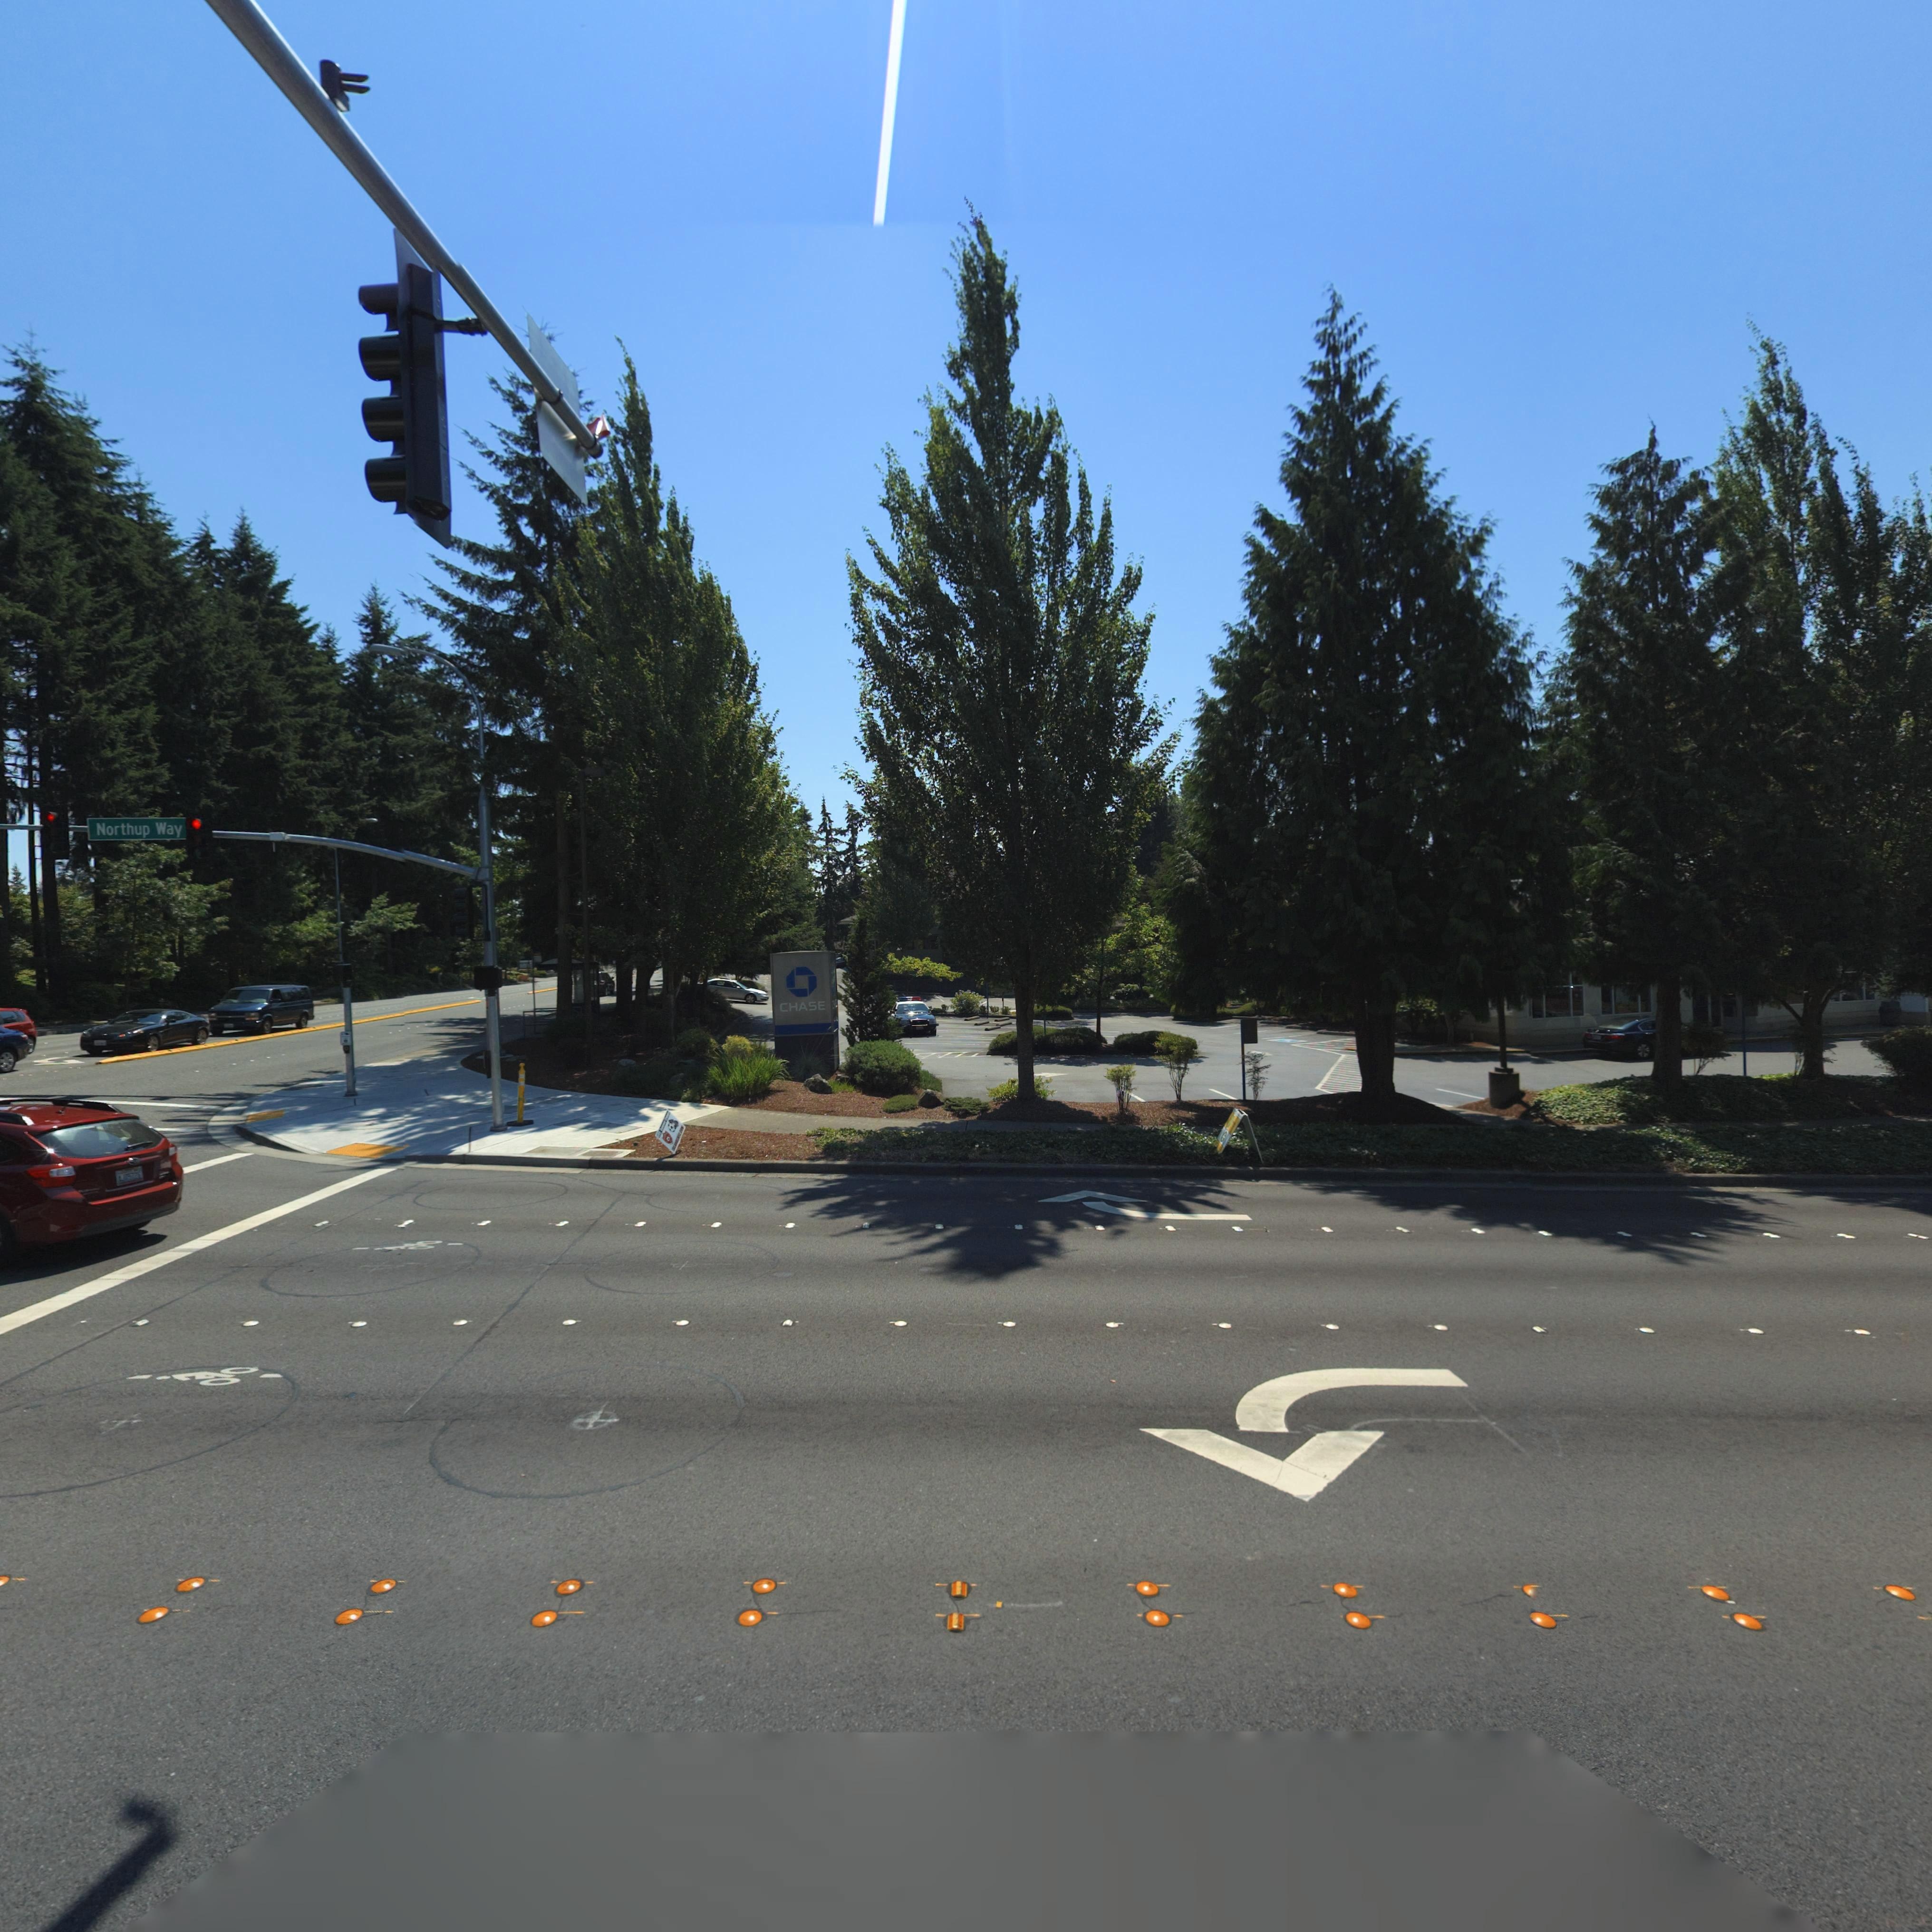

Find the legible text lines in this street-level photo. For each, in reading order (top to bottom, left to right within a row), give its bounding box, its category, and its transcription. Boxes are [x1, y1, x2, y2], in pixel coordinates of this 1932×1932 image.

[96, 820, 184, 839] StreetName: Northup Way
[780, 1001, 825, 1012] BusinessName: CHASE